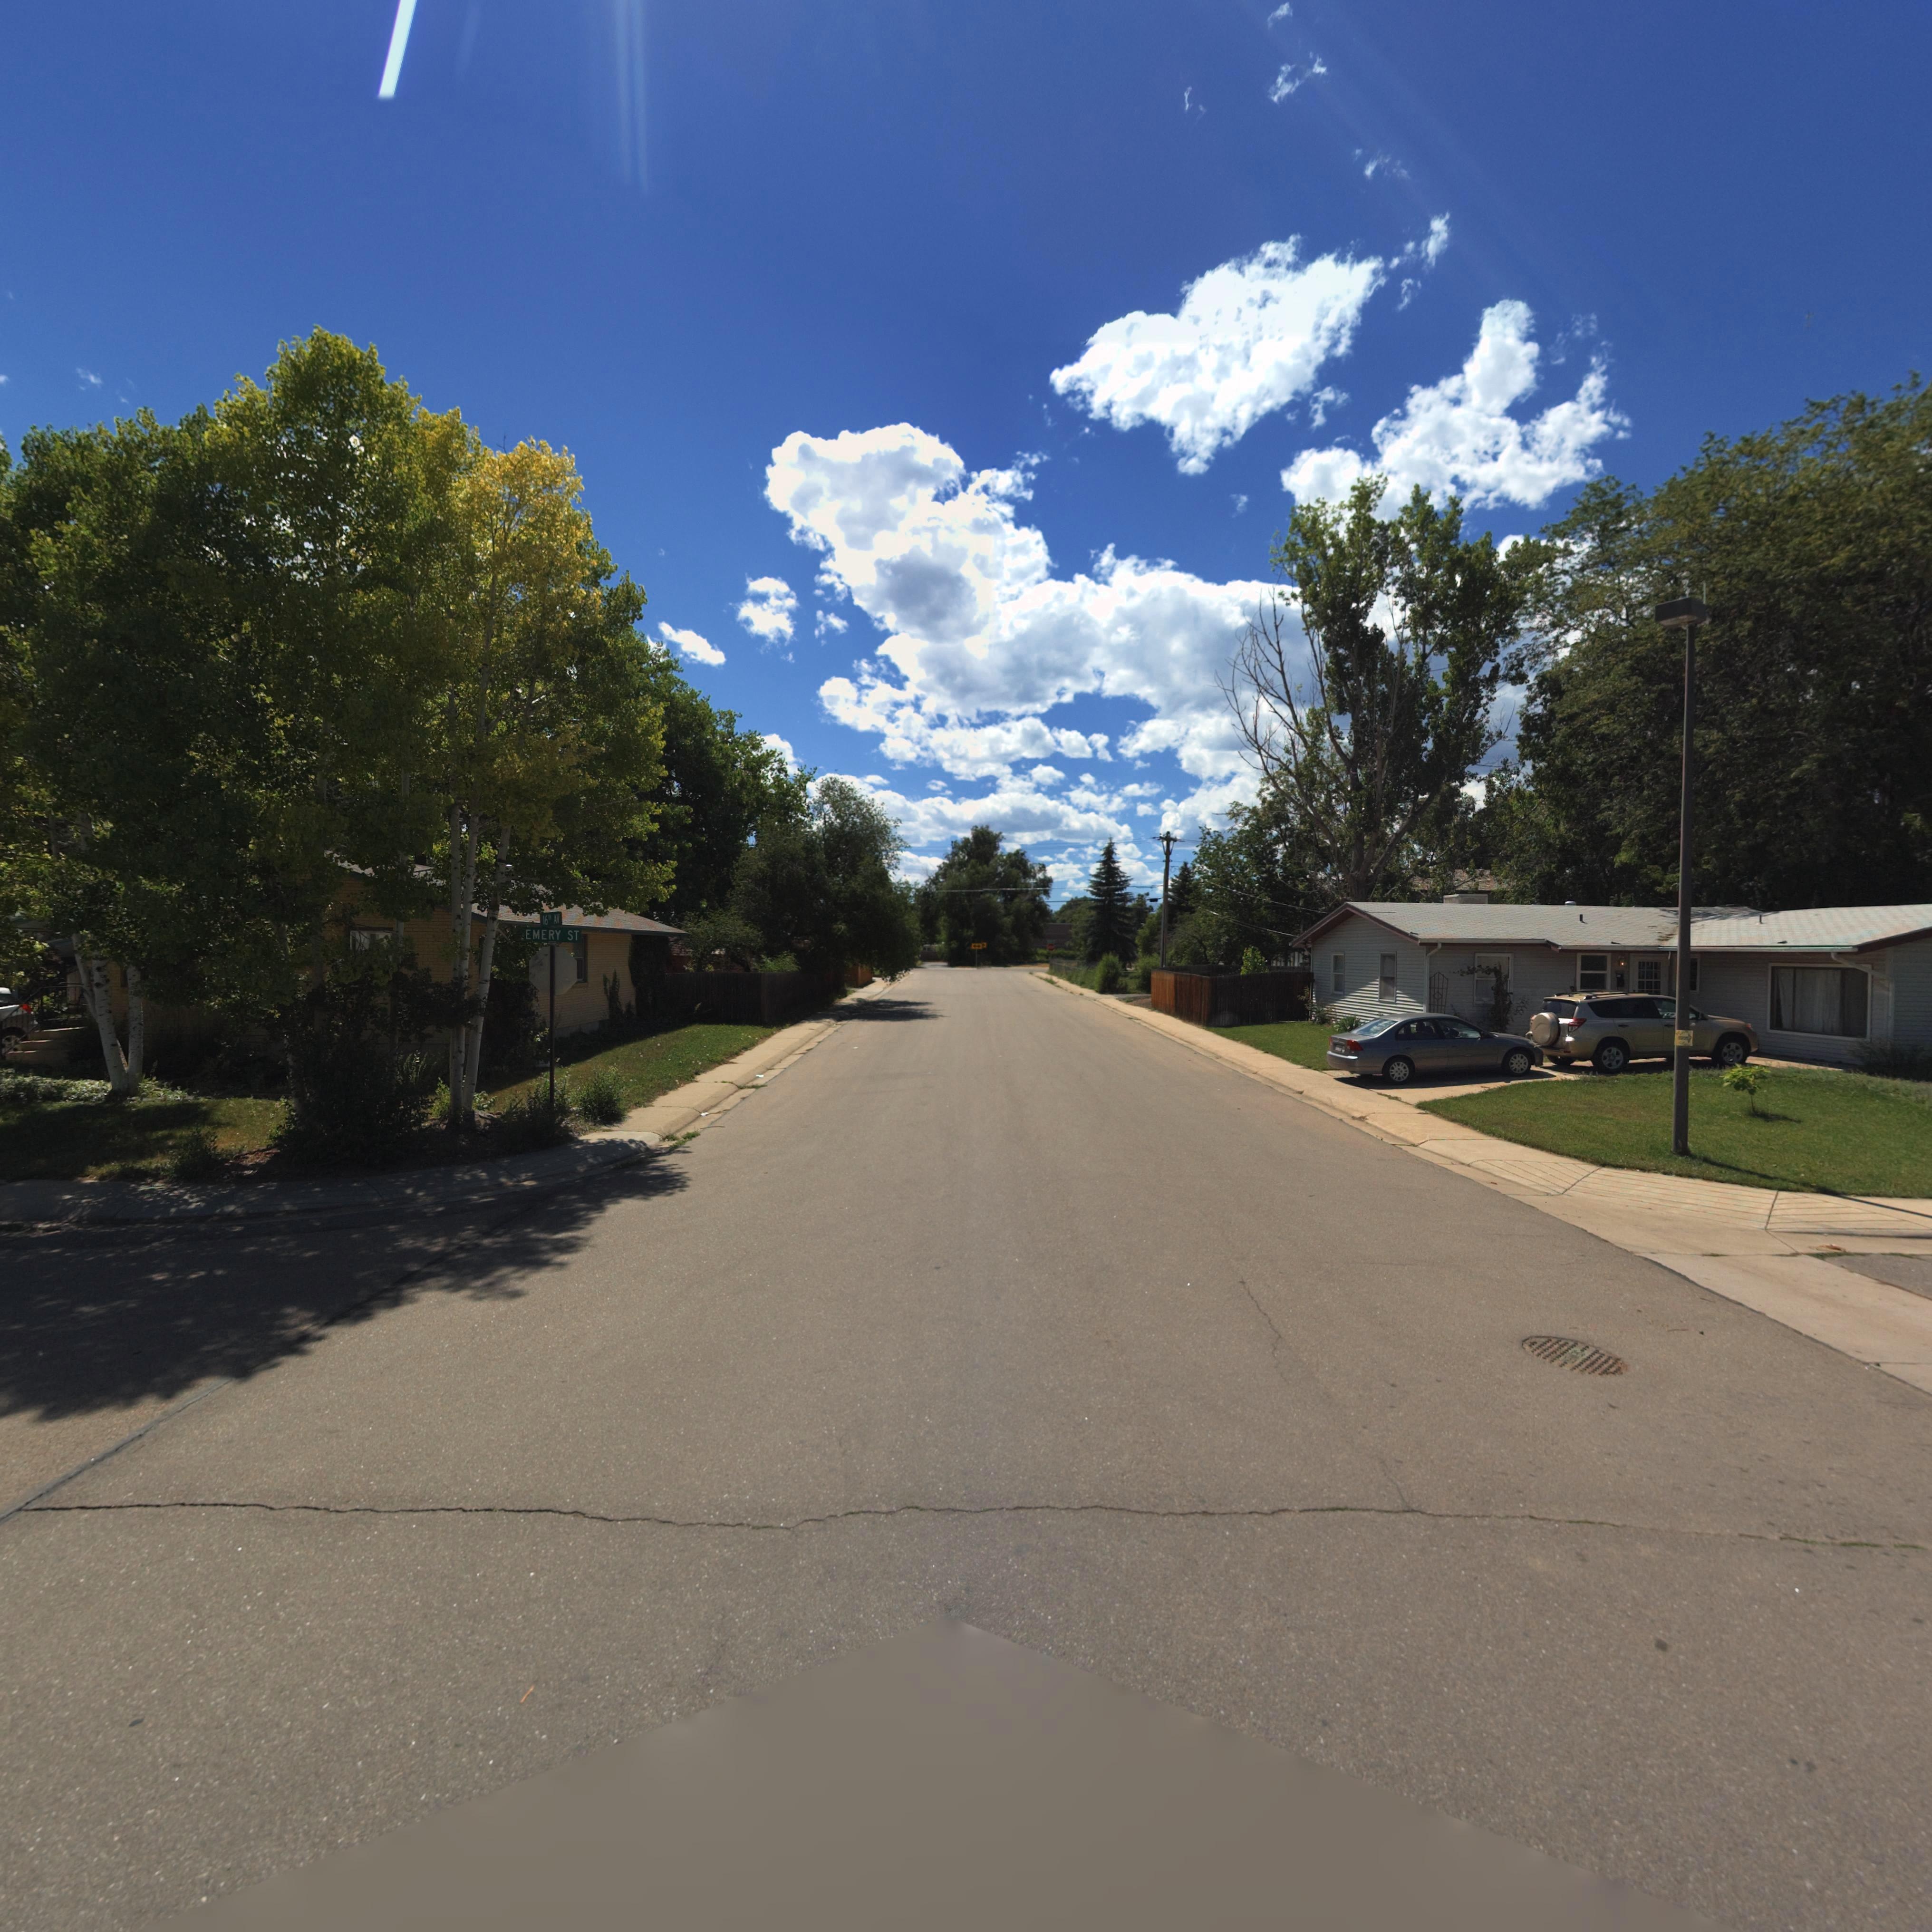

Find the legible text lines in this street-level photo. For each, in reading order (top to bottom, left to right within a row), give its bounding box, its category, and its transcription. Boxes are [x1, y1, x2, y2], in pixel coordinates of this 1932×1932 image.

[542, 913, 560, 925] StreetName: 16TH AV
[525, 928, 580, 941] StreetName: EMERY ST